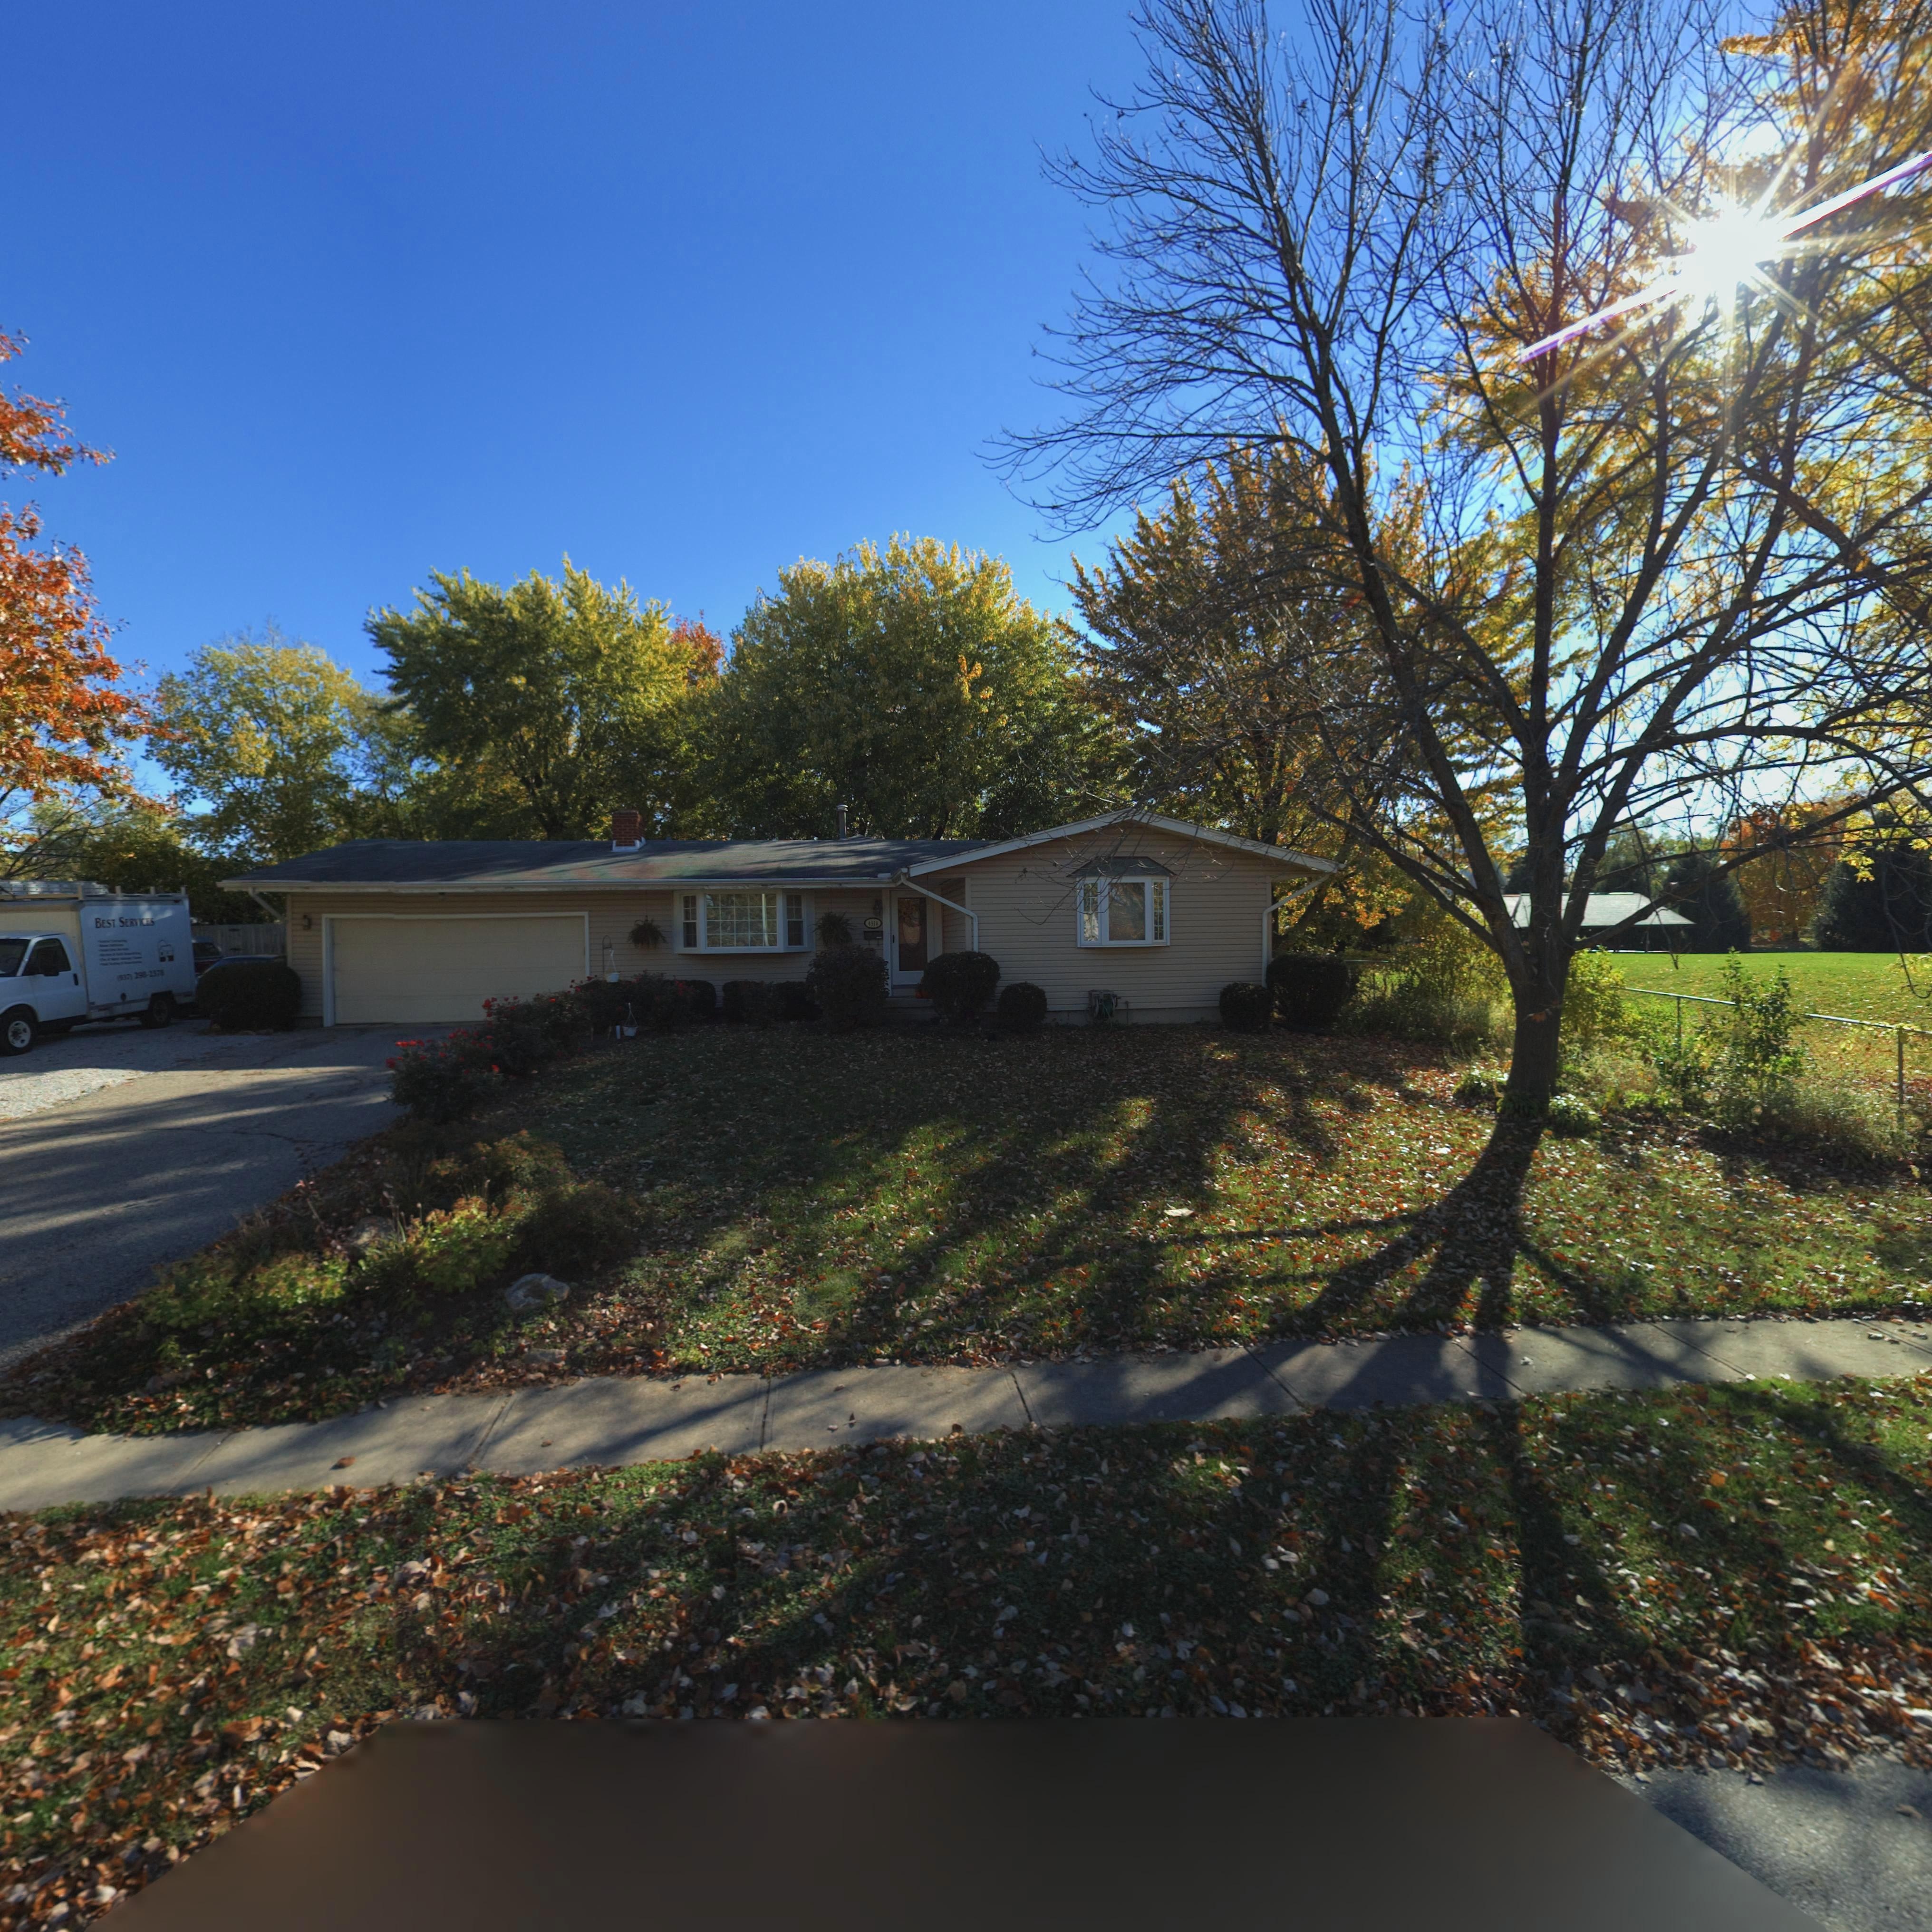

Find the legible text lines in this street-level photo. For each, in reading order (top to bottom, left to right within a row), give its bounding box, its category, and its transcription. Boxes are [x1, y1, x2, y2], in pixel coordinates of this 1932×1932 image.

[867, 920, 879, 927] StreetNumber: 4910